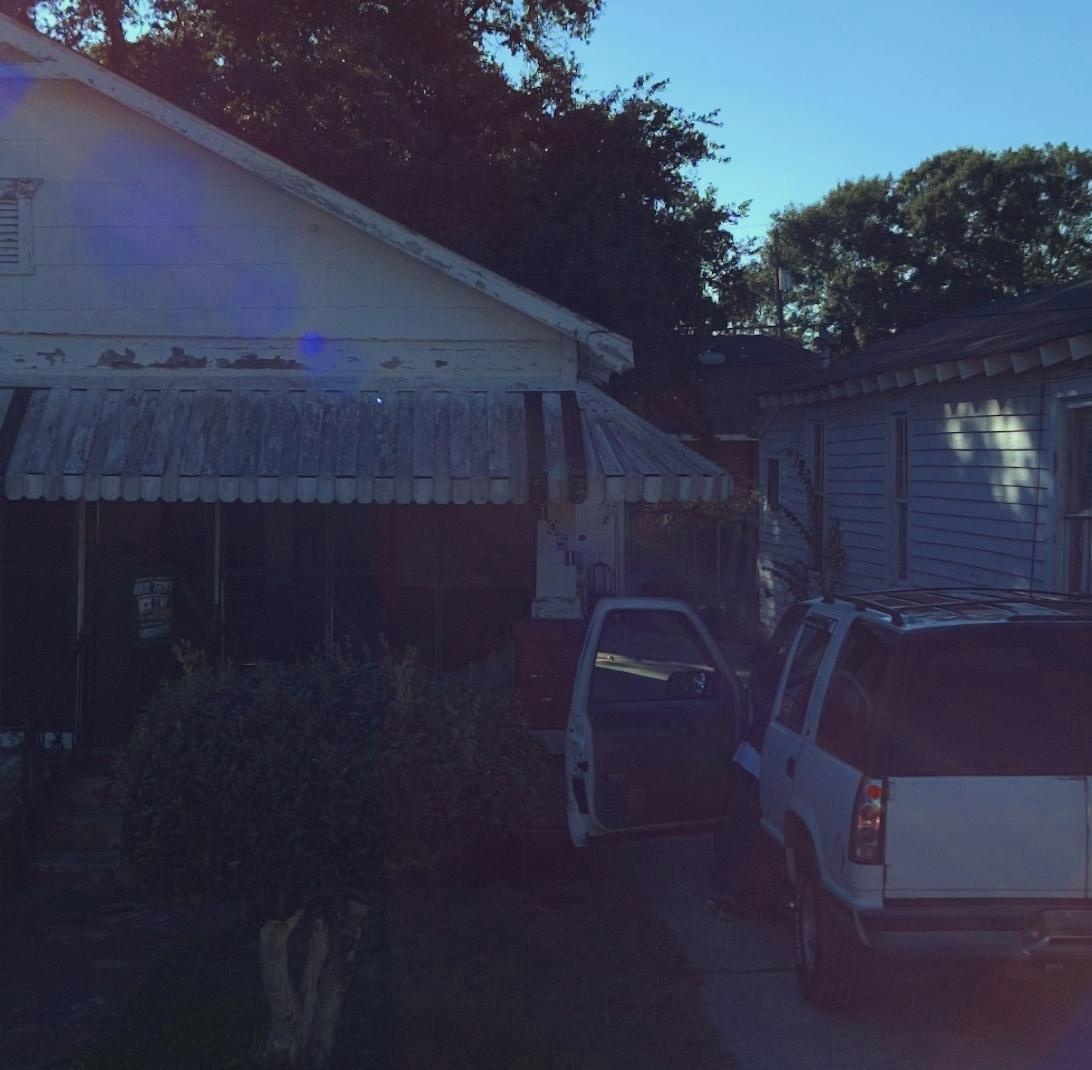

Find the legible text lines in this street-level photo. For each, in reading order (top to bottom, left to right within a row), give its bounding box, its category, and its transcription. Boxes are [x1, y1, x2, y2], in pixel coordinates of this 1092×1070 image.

[532, 502, 577, 568] StreetNumber: 1051